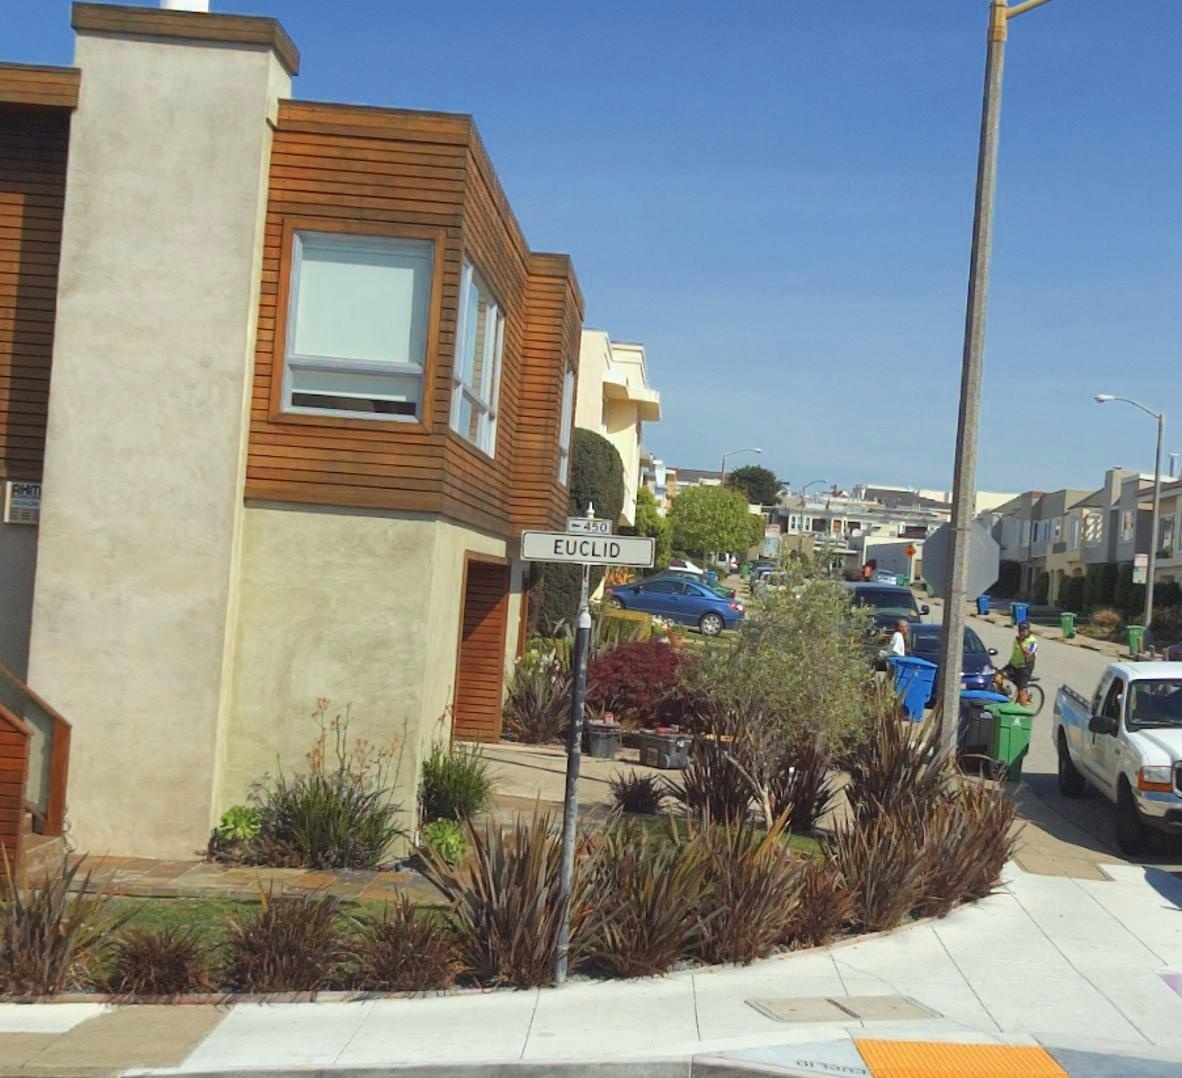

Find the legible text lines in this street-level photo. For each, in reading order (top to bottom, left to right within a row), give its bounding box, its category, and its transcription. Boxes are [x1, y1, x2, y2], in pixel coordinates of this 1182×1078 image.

[568, 520, 609, 532] StreetNumberRange: <-450
[551, 537, 621, 559] StreetName: EUCLID